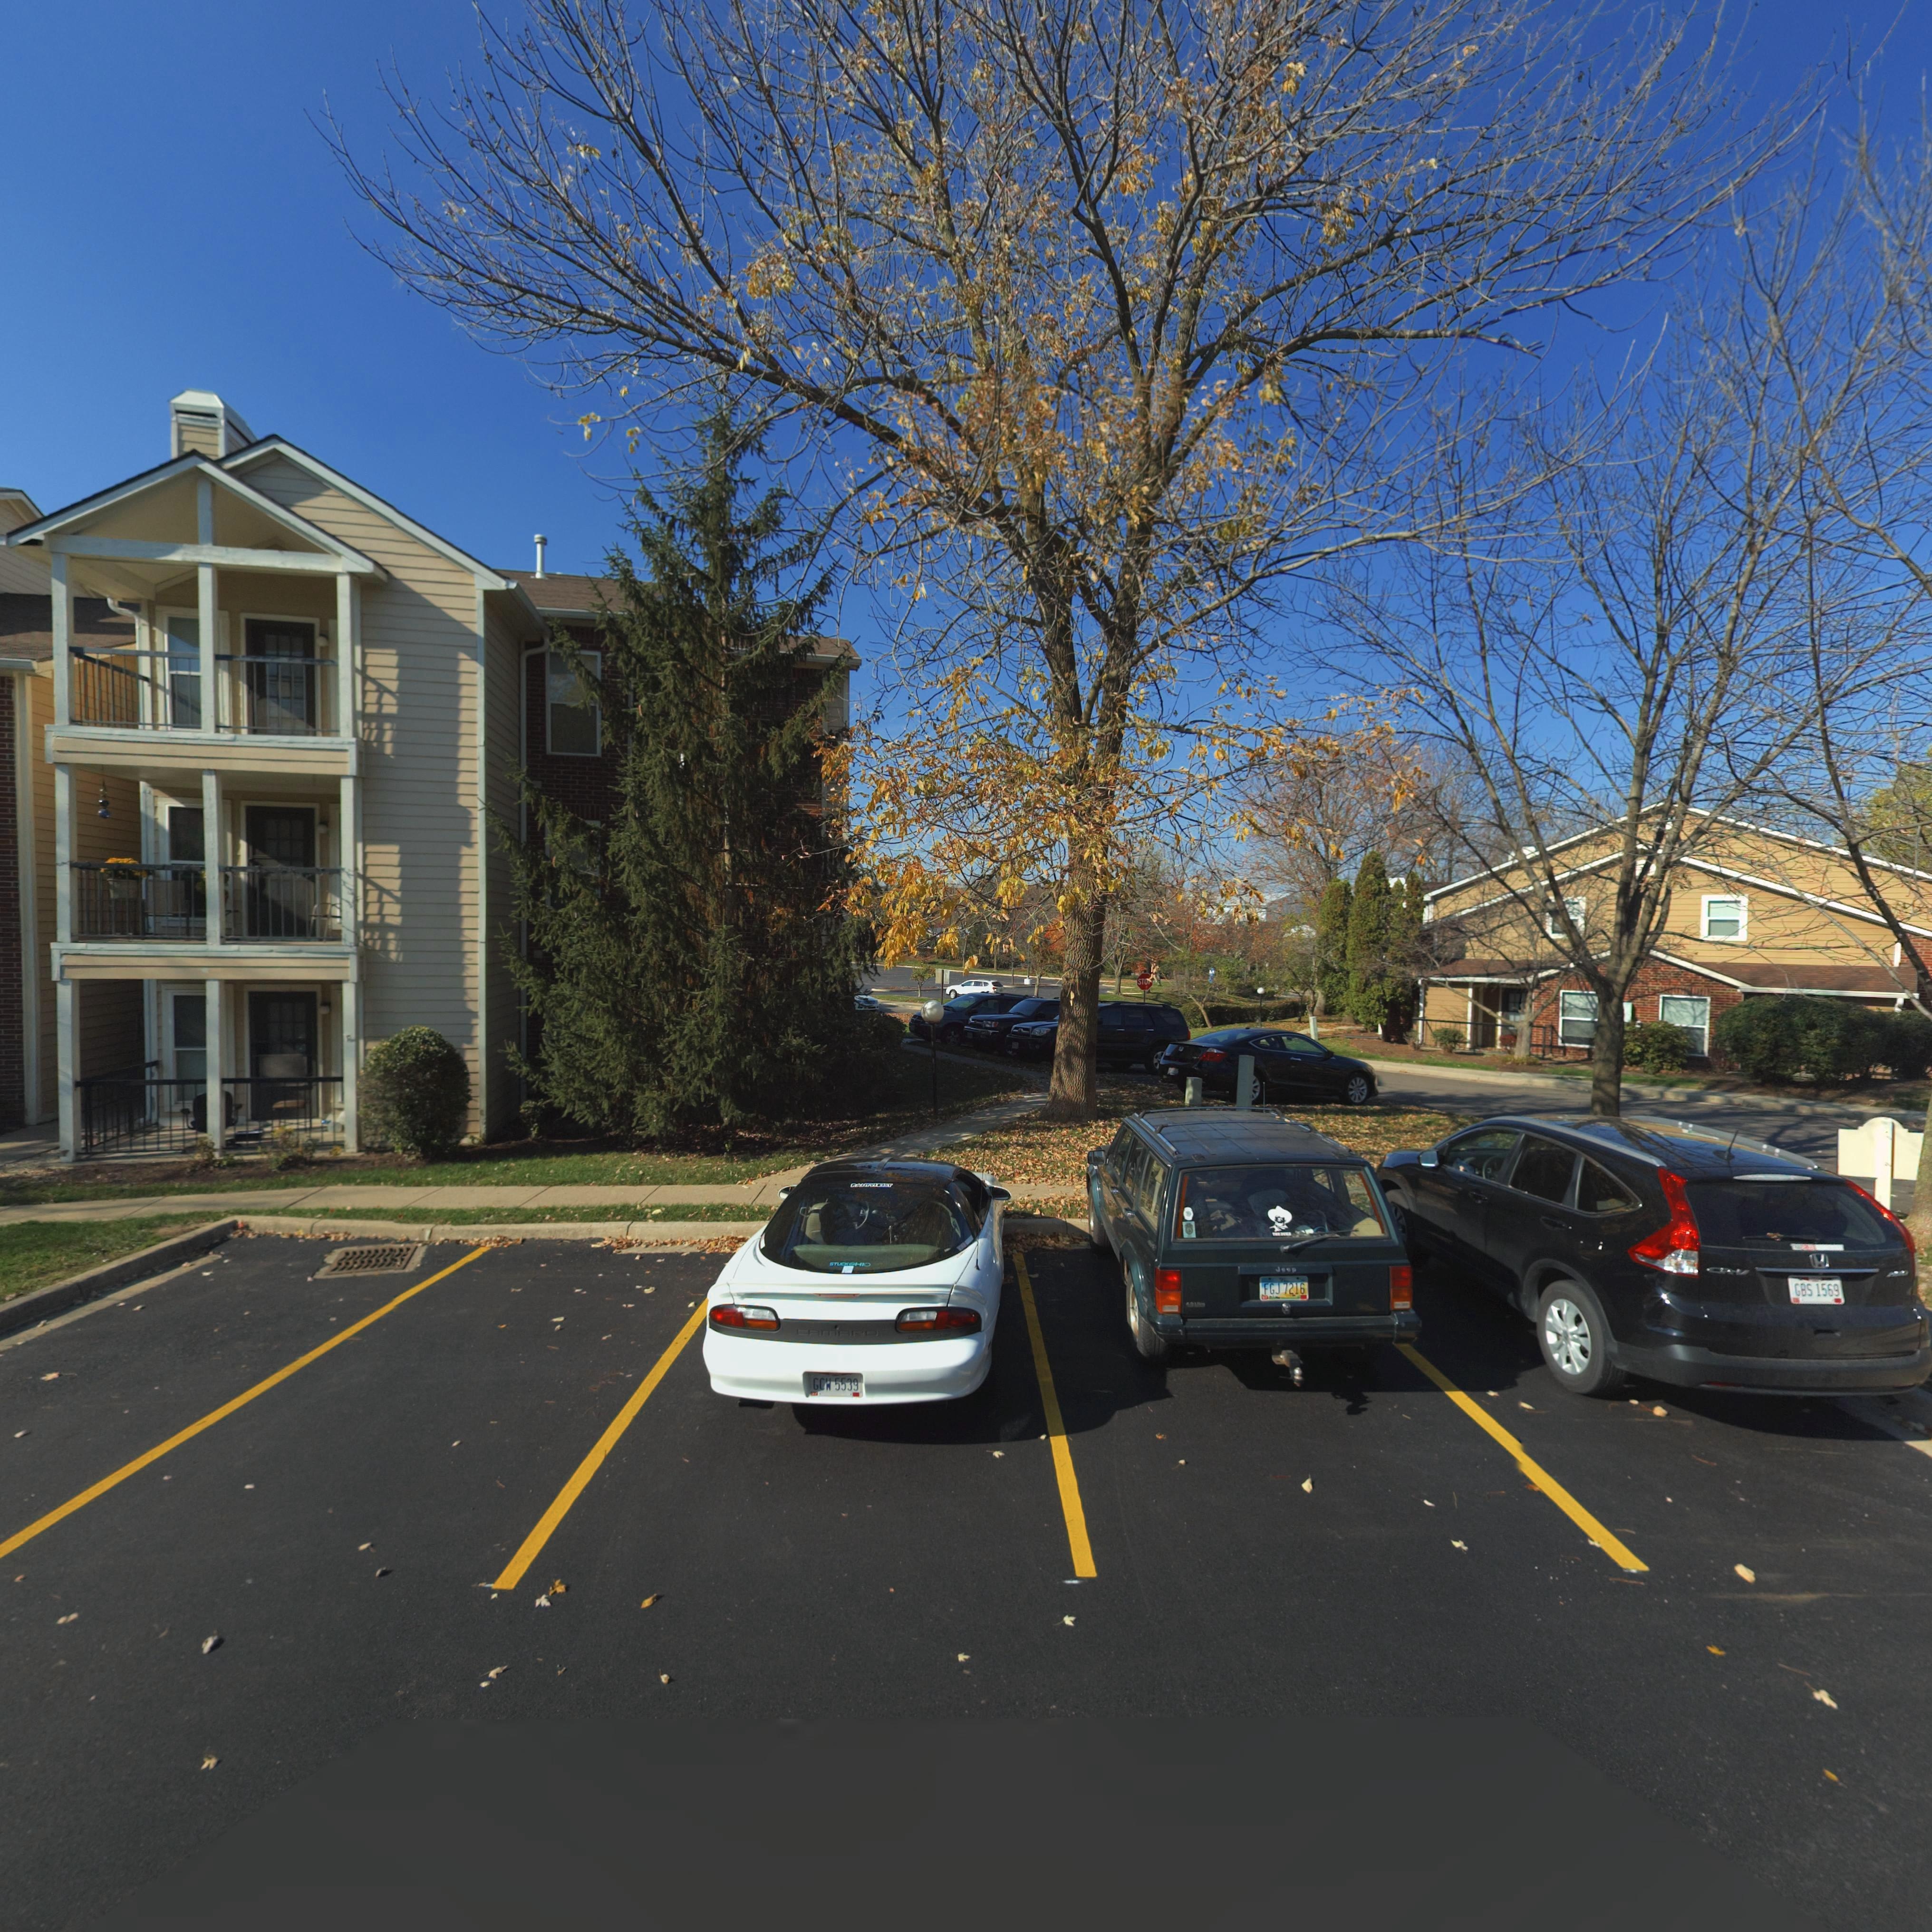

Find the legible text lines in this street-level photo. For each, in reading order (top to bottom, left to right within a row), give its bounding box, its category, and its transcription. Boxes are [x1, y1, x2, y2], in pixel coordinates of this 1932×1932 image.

[1137, 977, 1145, 986] None: ST
[1274, 1265, 1298, 1274] None: Jeep
[1263, 1281, 1306, 1295] None: FGJ 7216
[1793, 1282, 1842, 1299] None: GBS 1569
[812, 1376, 860, 1392] None: GCW 5539